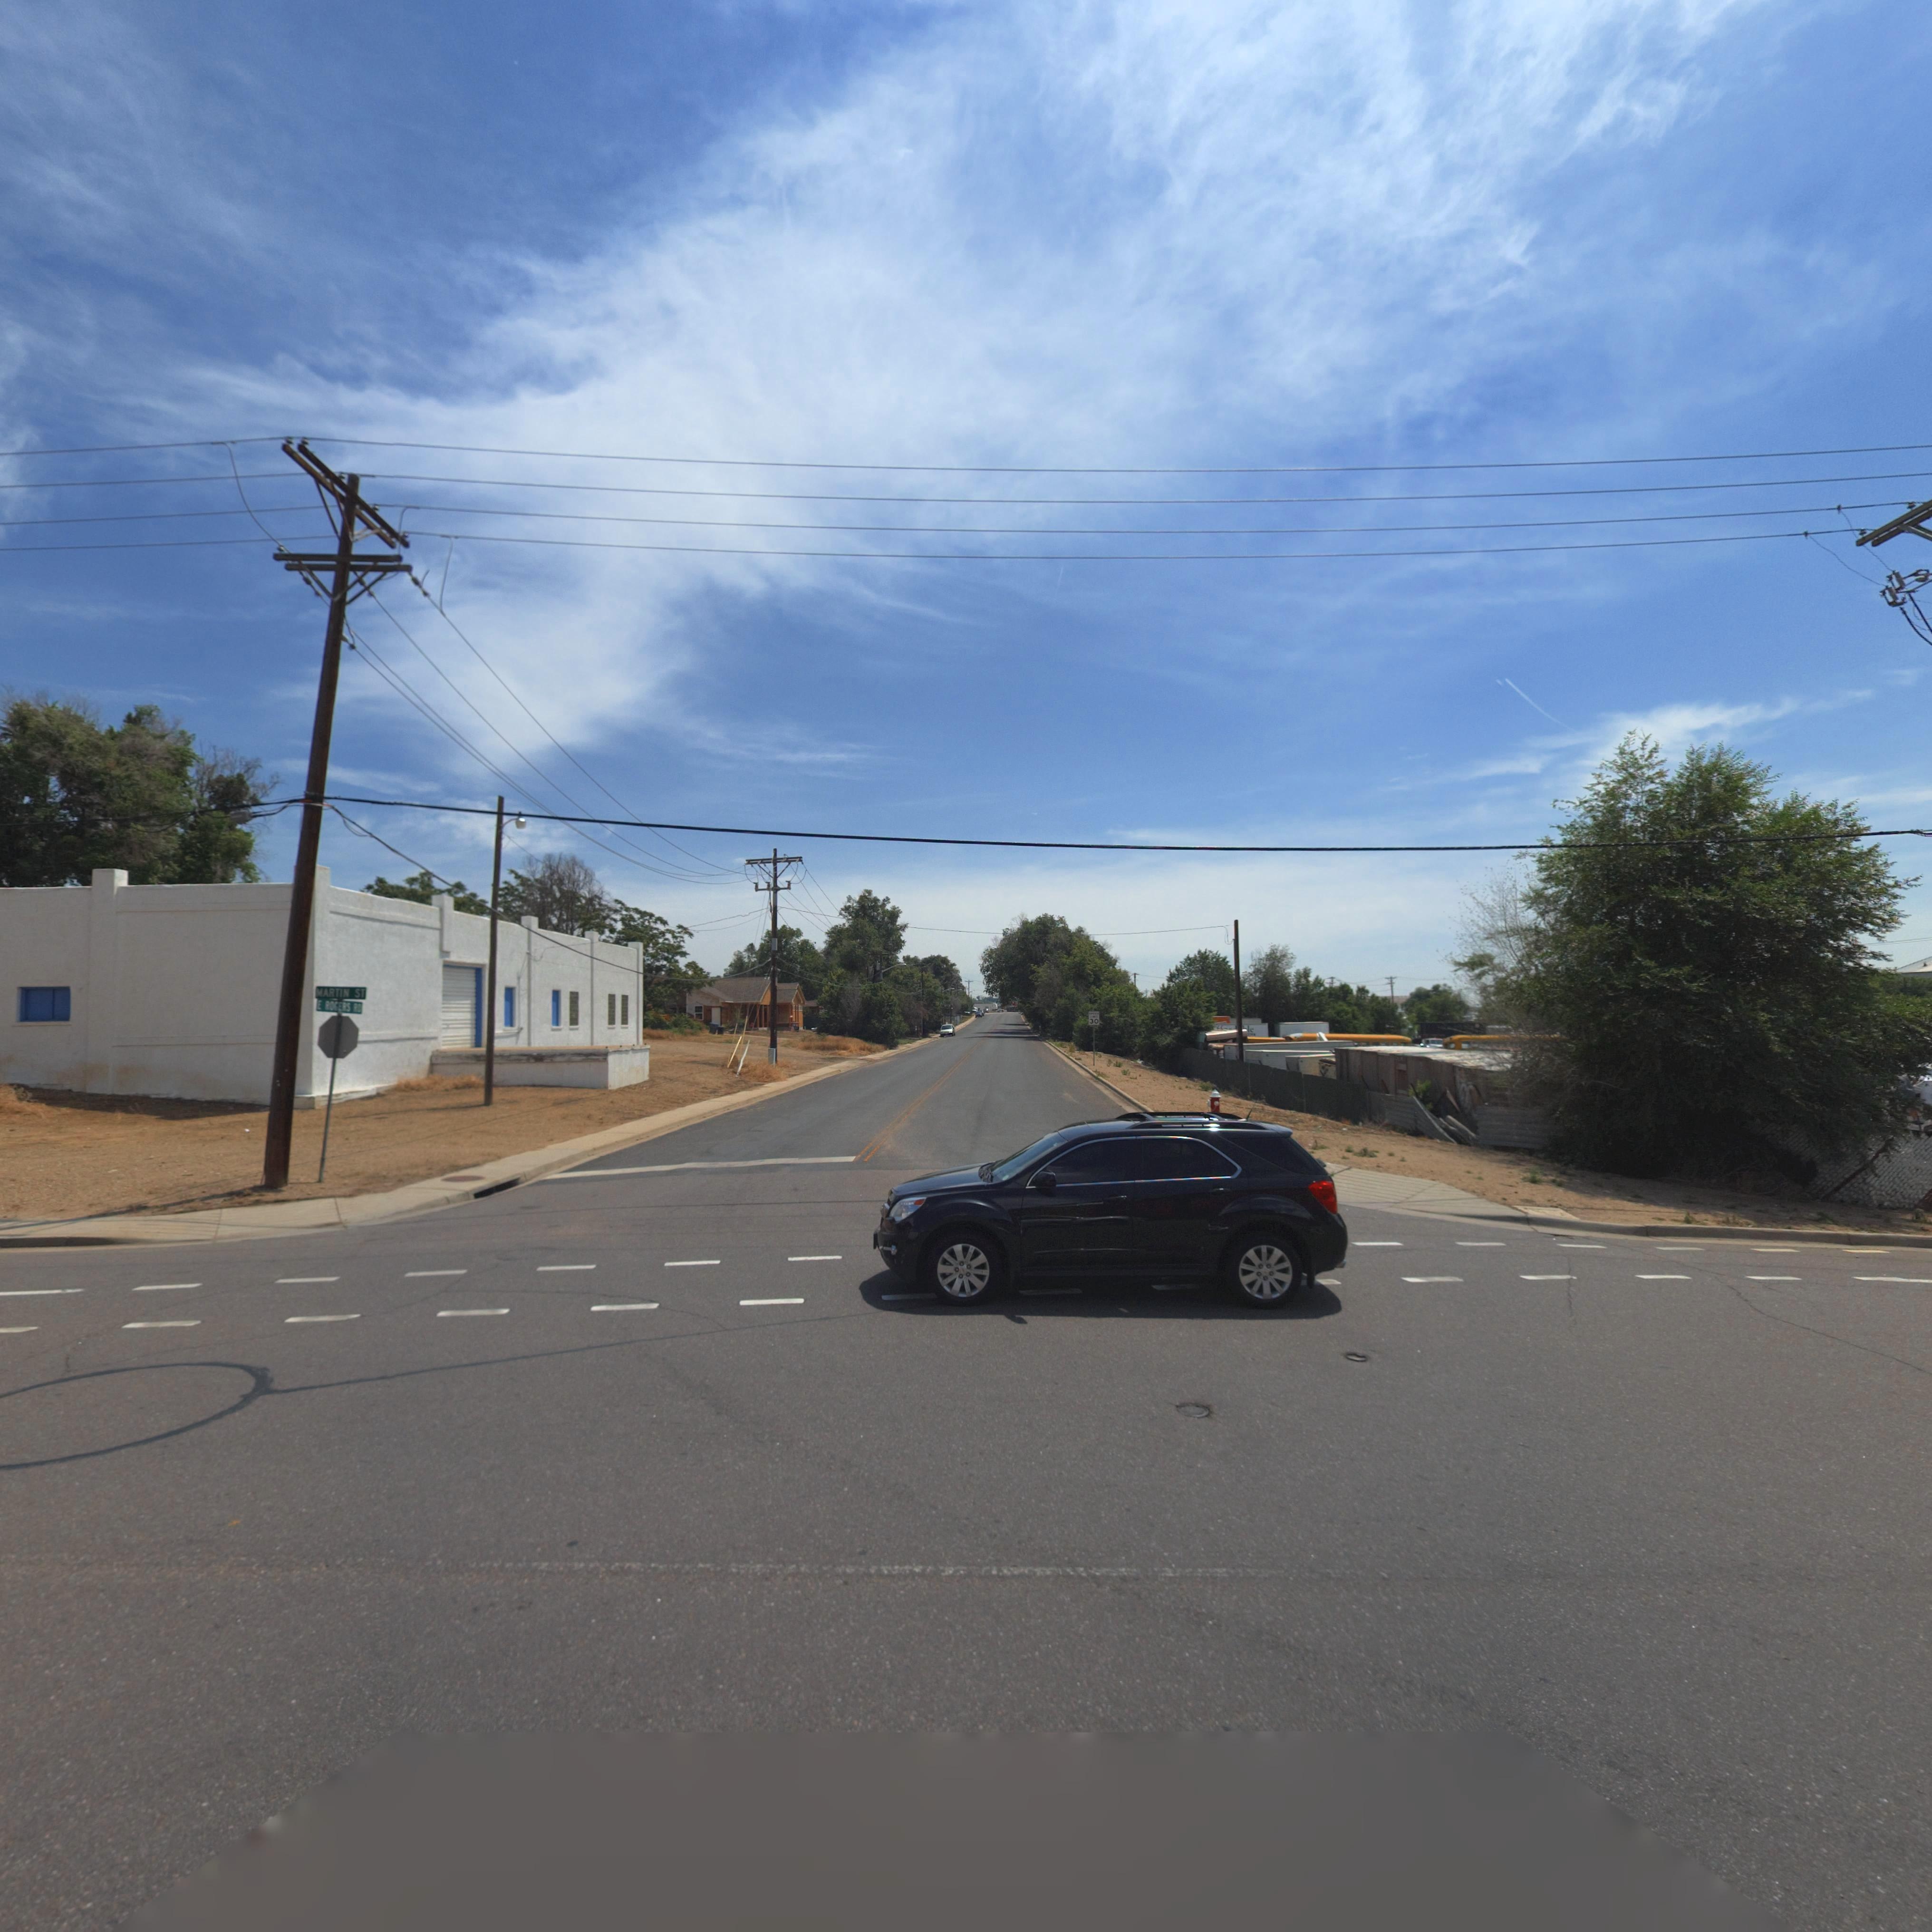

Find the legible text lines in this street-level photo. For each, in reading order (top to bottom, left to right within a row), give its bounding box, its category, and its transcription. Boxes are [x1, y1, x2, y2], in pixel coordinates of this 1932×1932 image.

[316, 987, 365, 999] StreetName: MARTIN ST
[317, 999, 361, 1013] StreetName: E ROGERS RD